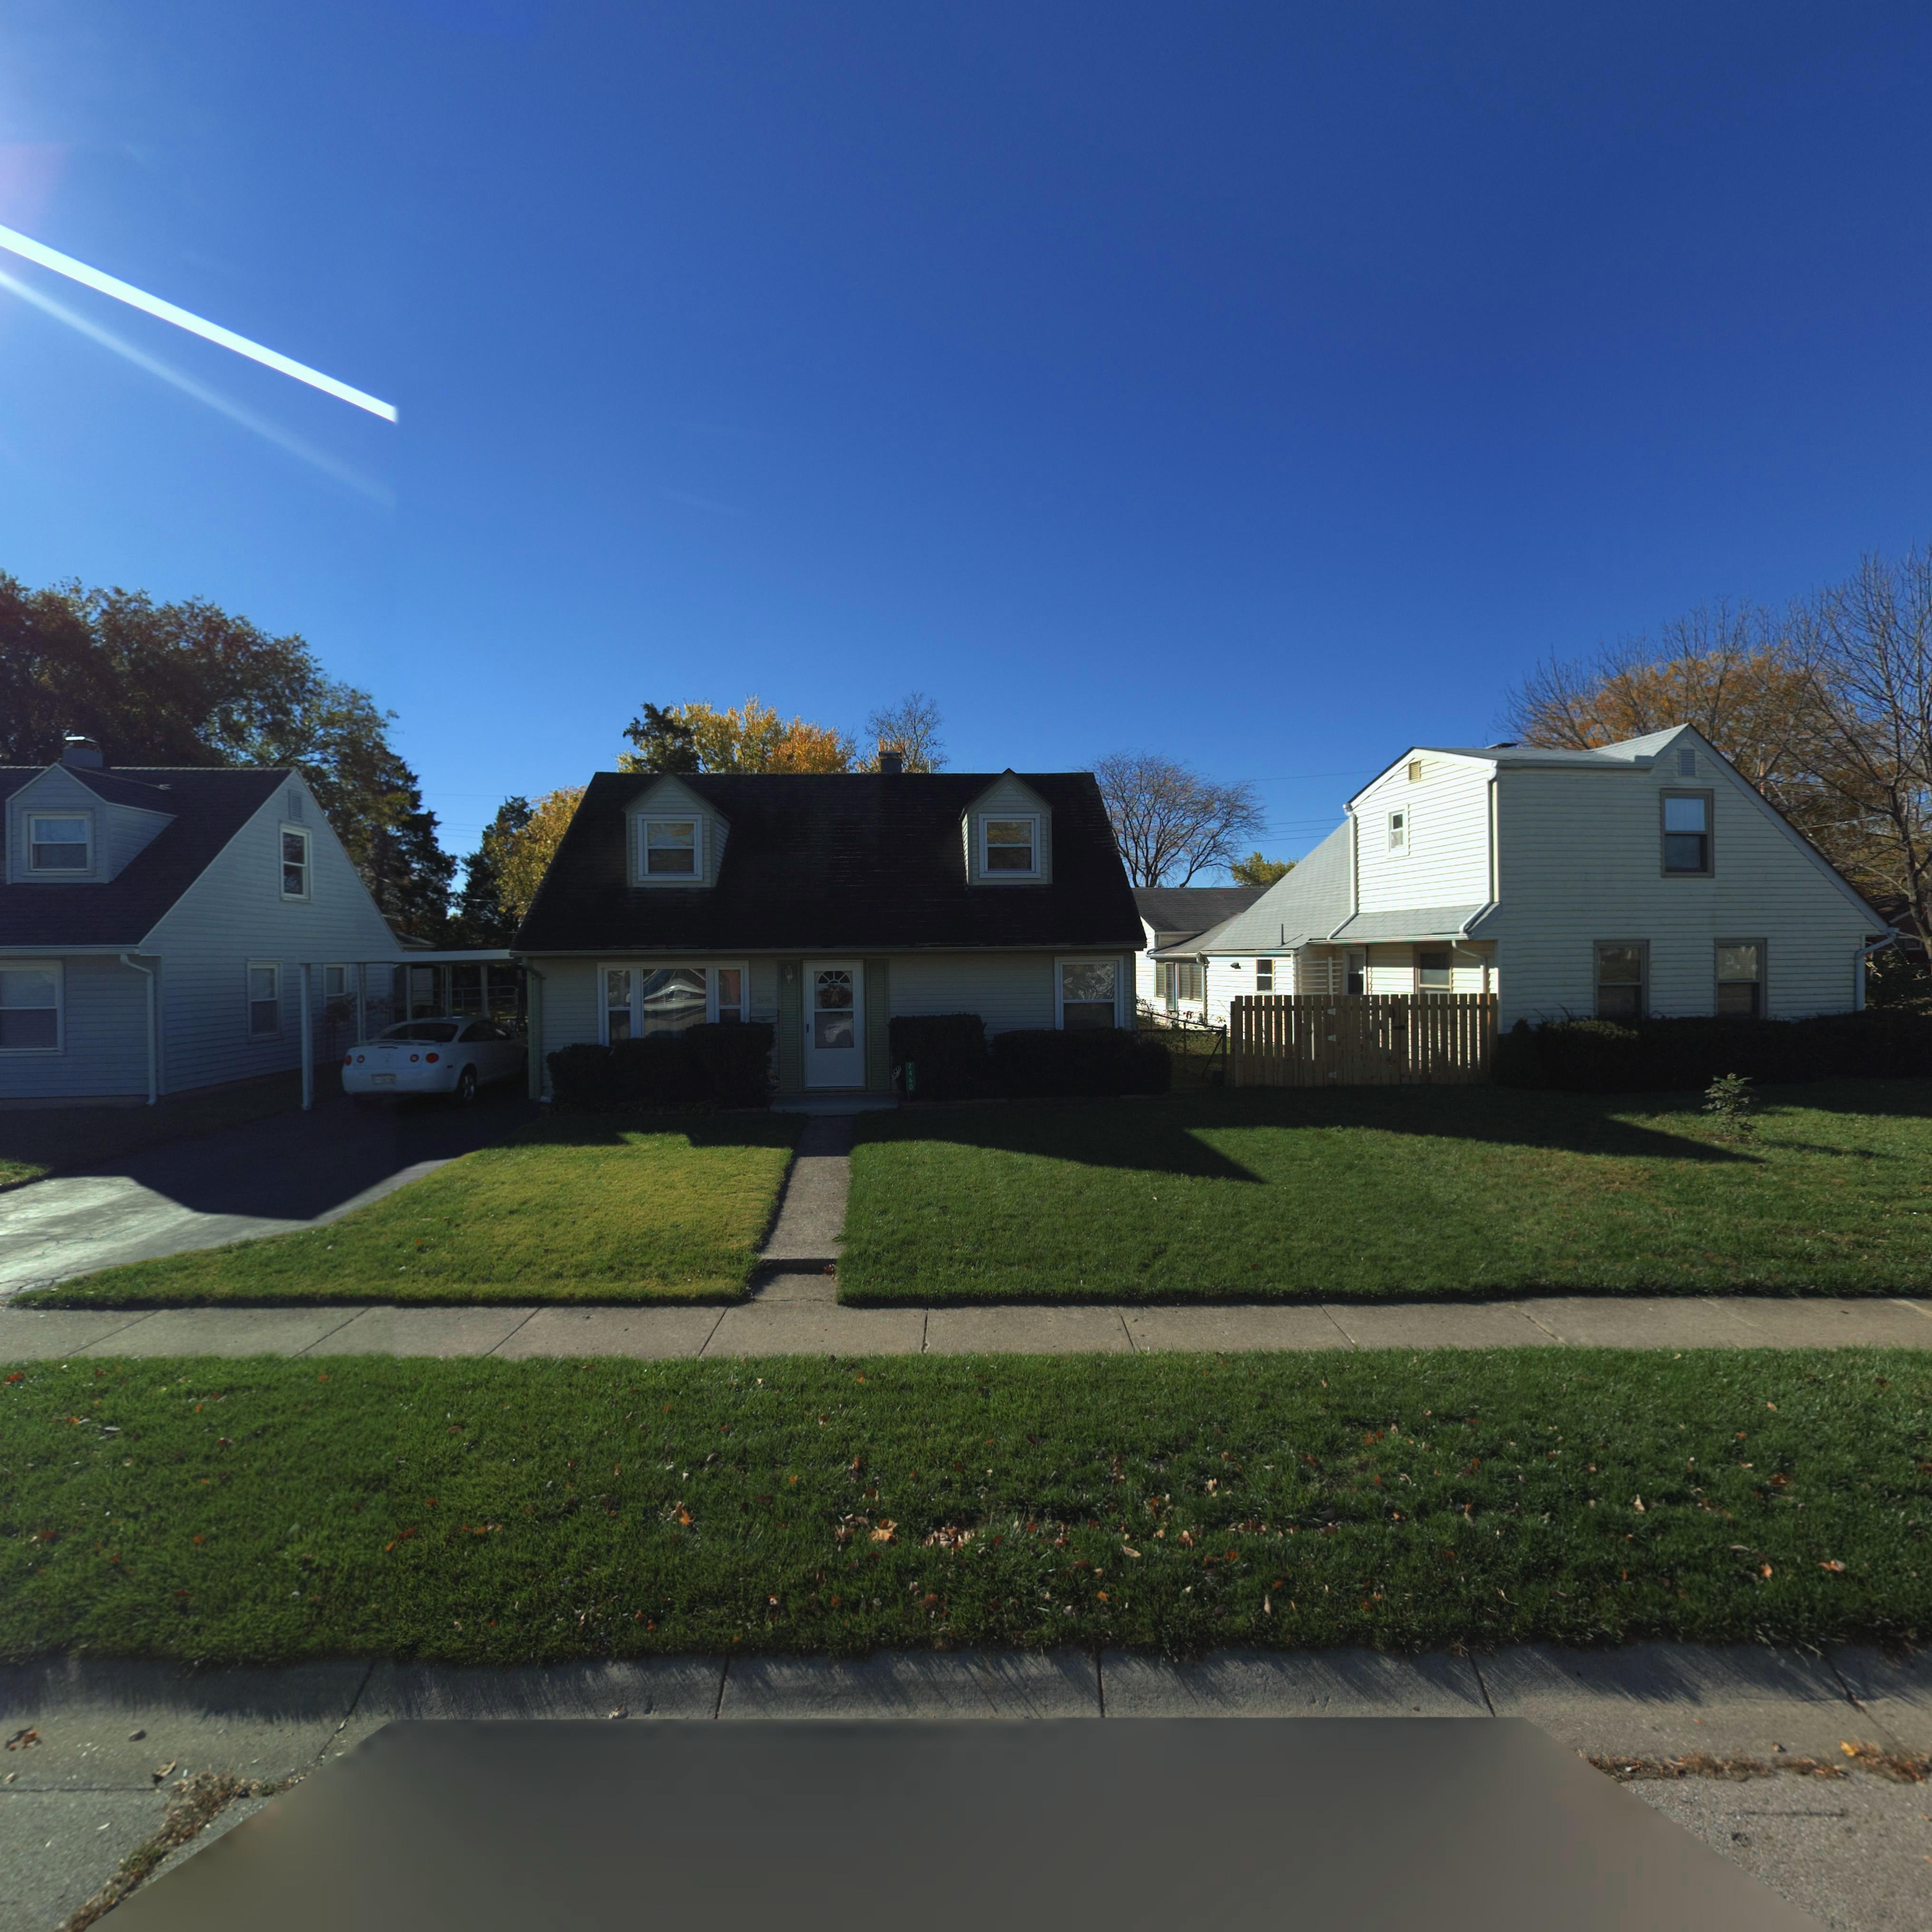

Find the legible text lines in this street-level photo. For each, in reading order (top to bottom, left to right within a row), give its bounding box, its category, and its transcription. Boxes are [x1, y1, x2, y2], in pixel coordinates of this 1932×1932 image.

[908, 1062, 914, 1091] StreetNumber: 2460